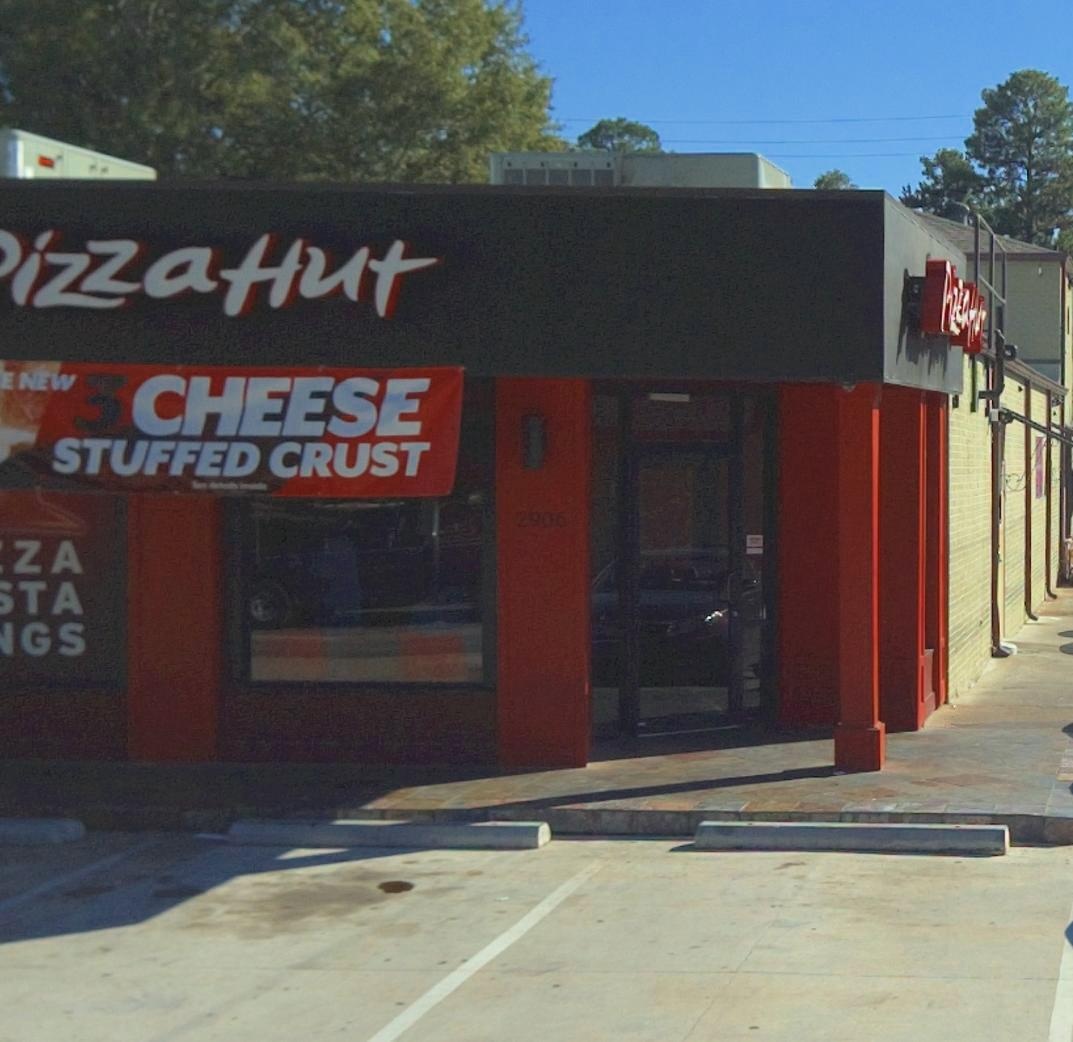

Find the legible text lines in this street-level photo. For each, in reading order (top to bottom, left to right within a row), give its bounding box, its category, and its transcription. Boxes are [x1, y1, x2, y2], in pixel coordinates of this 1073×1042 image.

[3, 224, 445, 324] BusinessName: izza Hut
[16, 369, 436, 439] None: NEW 3 CHEESE
[48, 434, 434, 480] None: STUFFED CRUST
[514, 507, 569, 531] StreetNumber: 2906
[10, 536, 87, 577] None: ZA
[16, 578, 88, 619] None: TA
[17, 619, 91, 661] None: GS